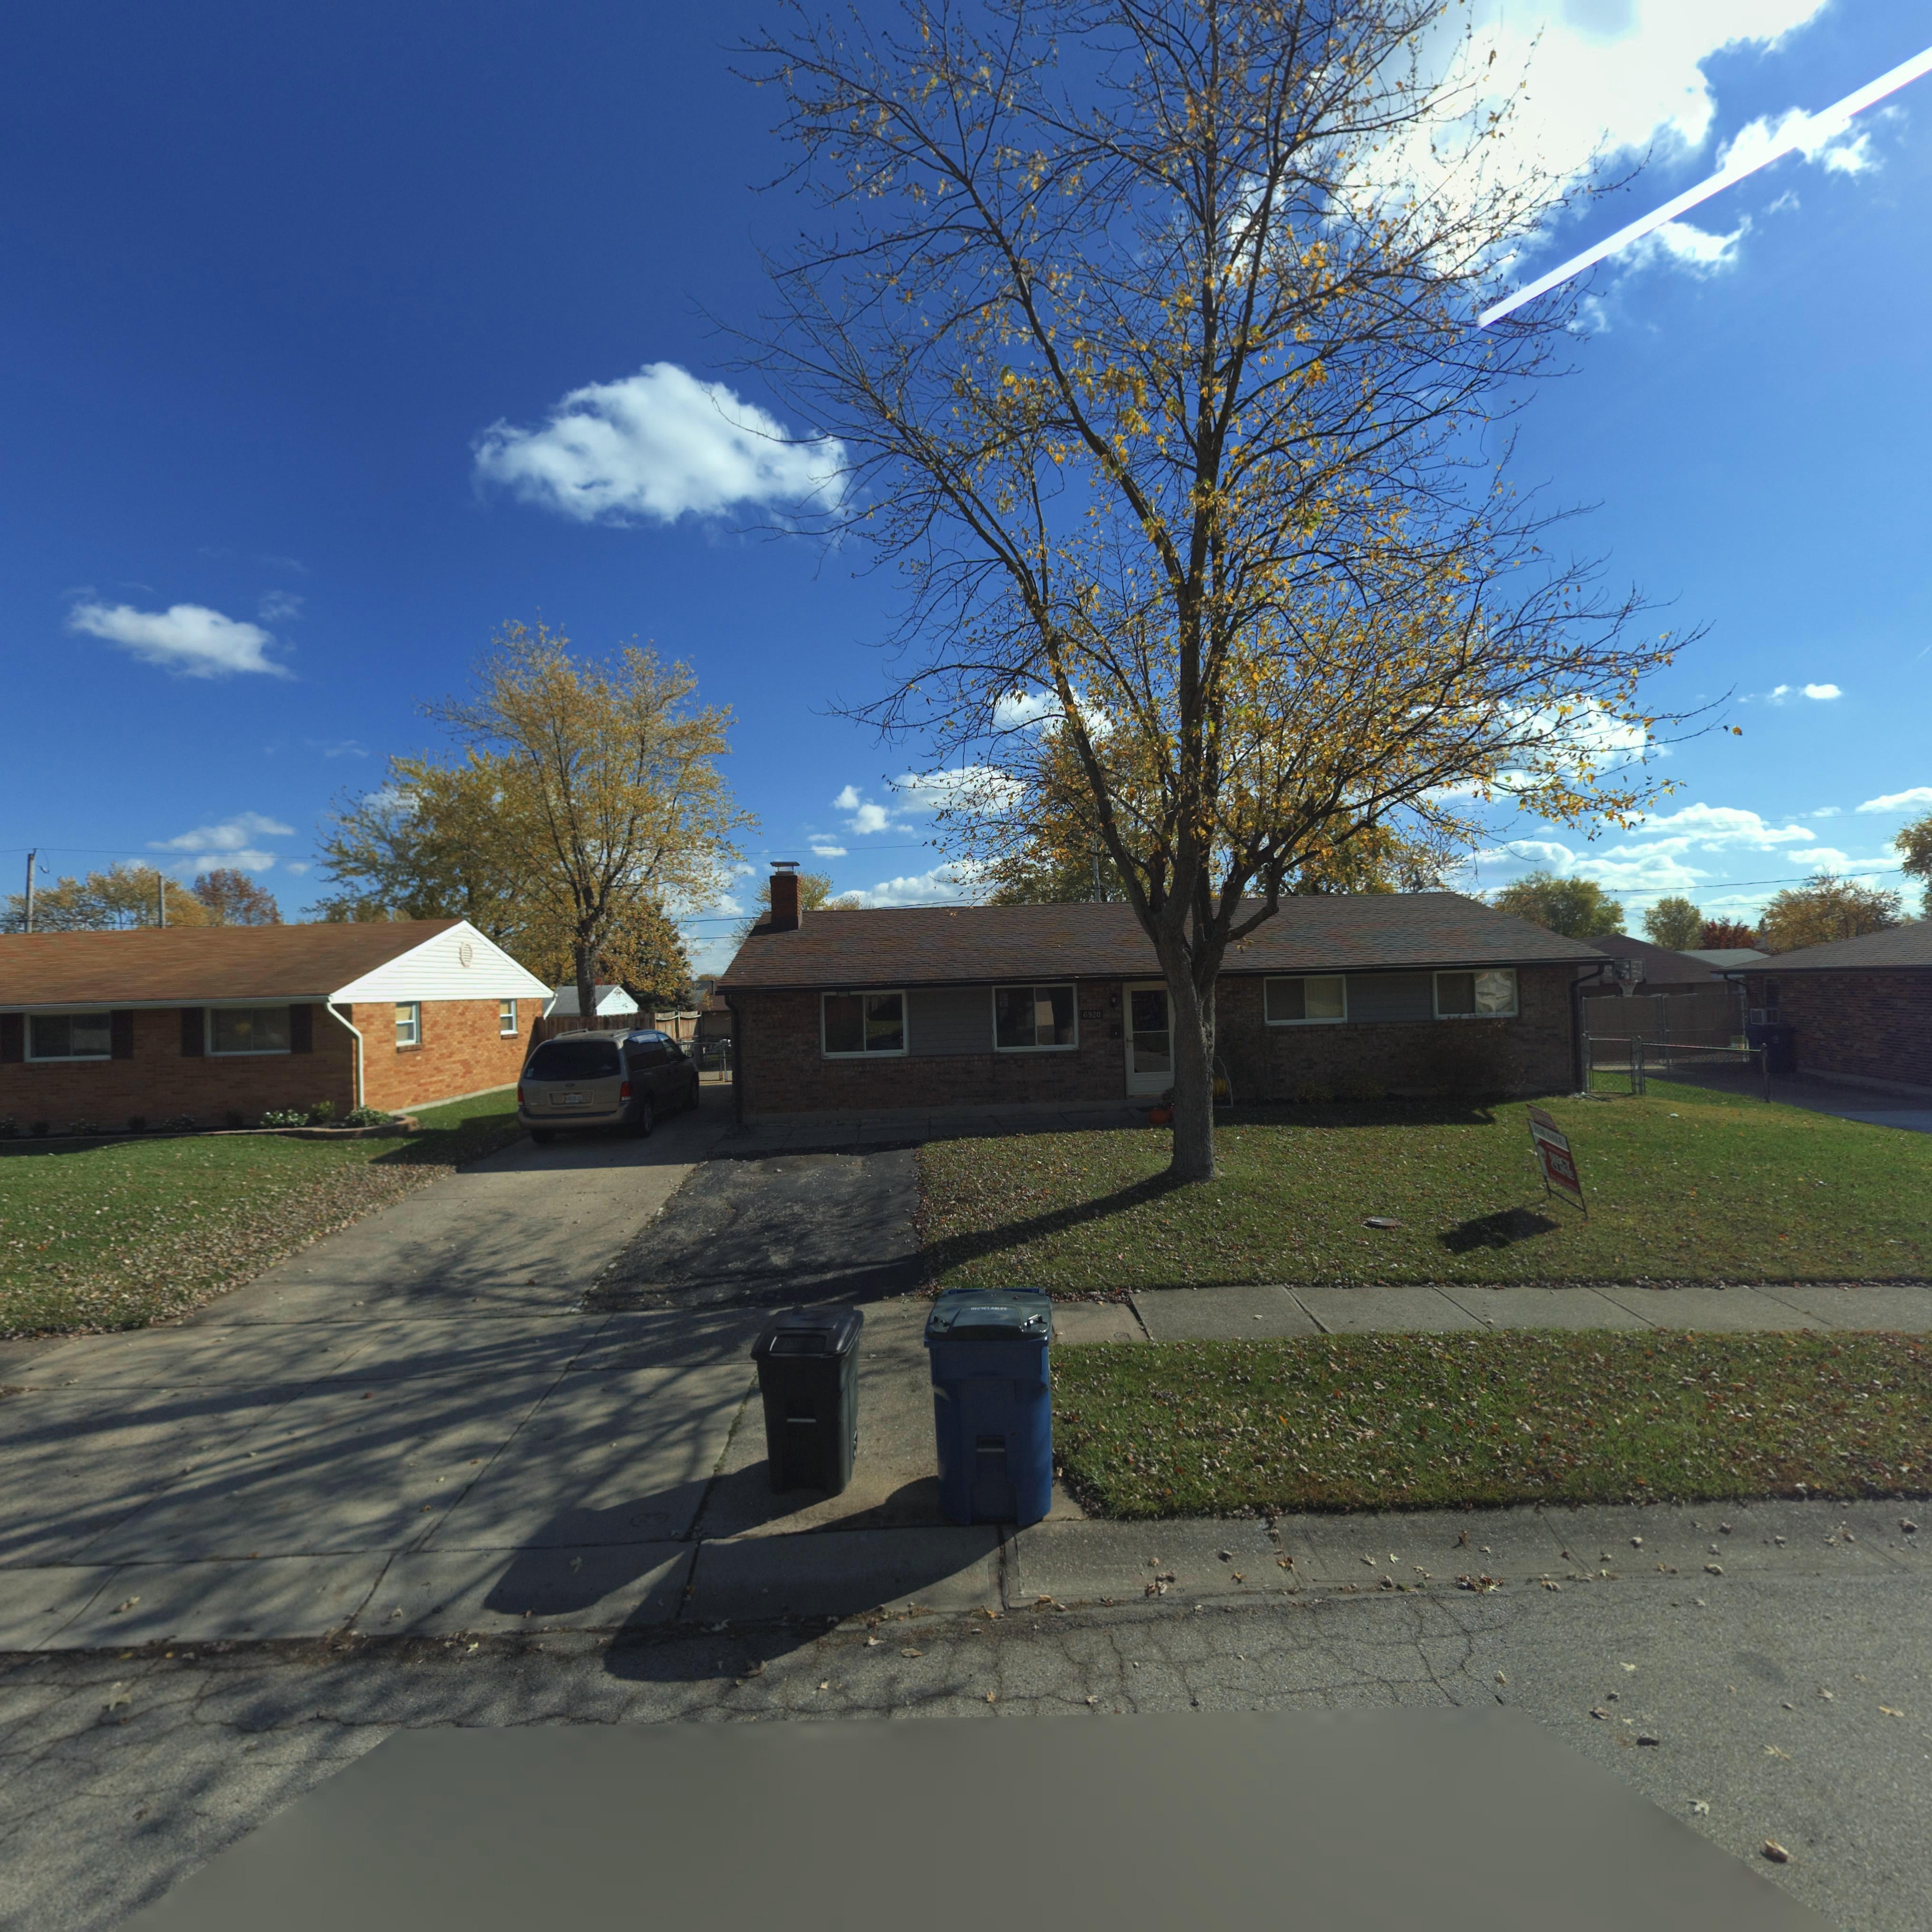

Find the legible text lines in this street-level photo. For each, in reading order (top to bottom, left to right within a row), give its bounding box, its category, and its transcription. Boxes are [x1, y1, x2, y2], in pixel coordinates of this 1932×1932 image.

[1082, 1010, 1102, 1019] StreetNumber: 6920